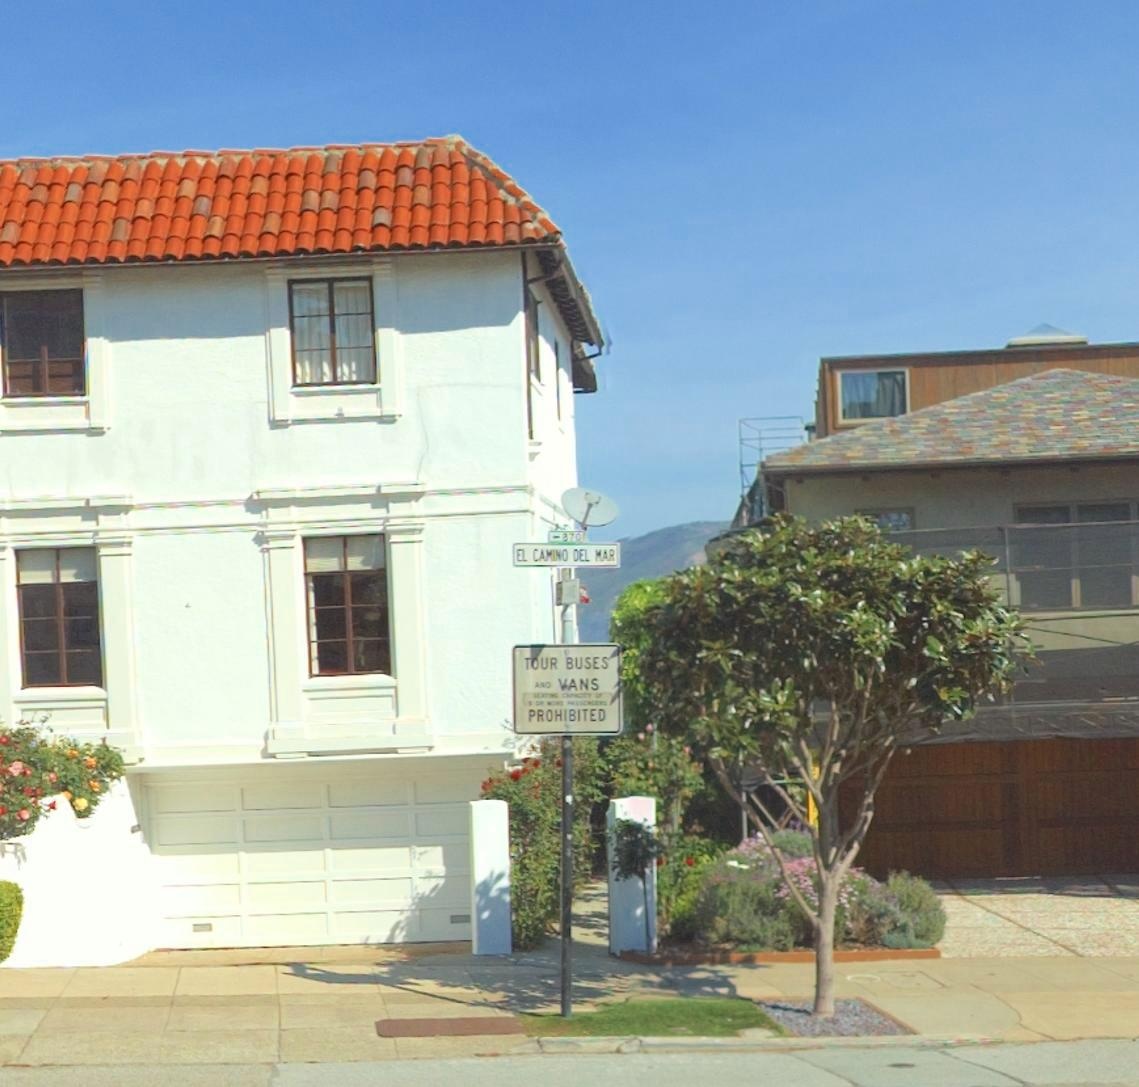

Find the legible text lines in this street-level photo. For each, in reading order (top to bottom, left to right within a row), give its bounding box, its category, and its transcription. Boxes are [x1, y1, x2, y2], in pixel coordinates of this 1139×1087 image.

[548, 531, 587, 544] StreetNumberRange: <-870
[514, 547, 615, 563] StreetName: EL CAMINO DEL MAR
[523, 655, 609, 670] None: TOUR BUSES
[530, 676, 598, 691] None: AND VANS
[526, 707, 607, 724] None: PROHIBITED